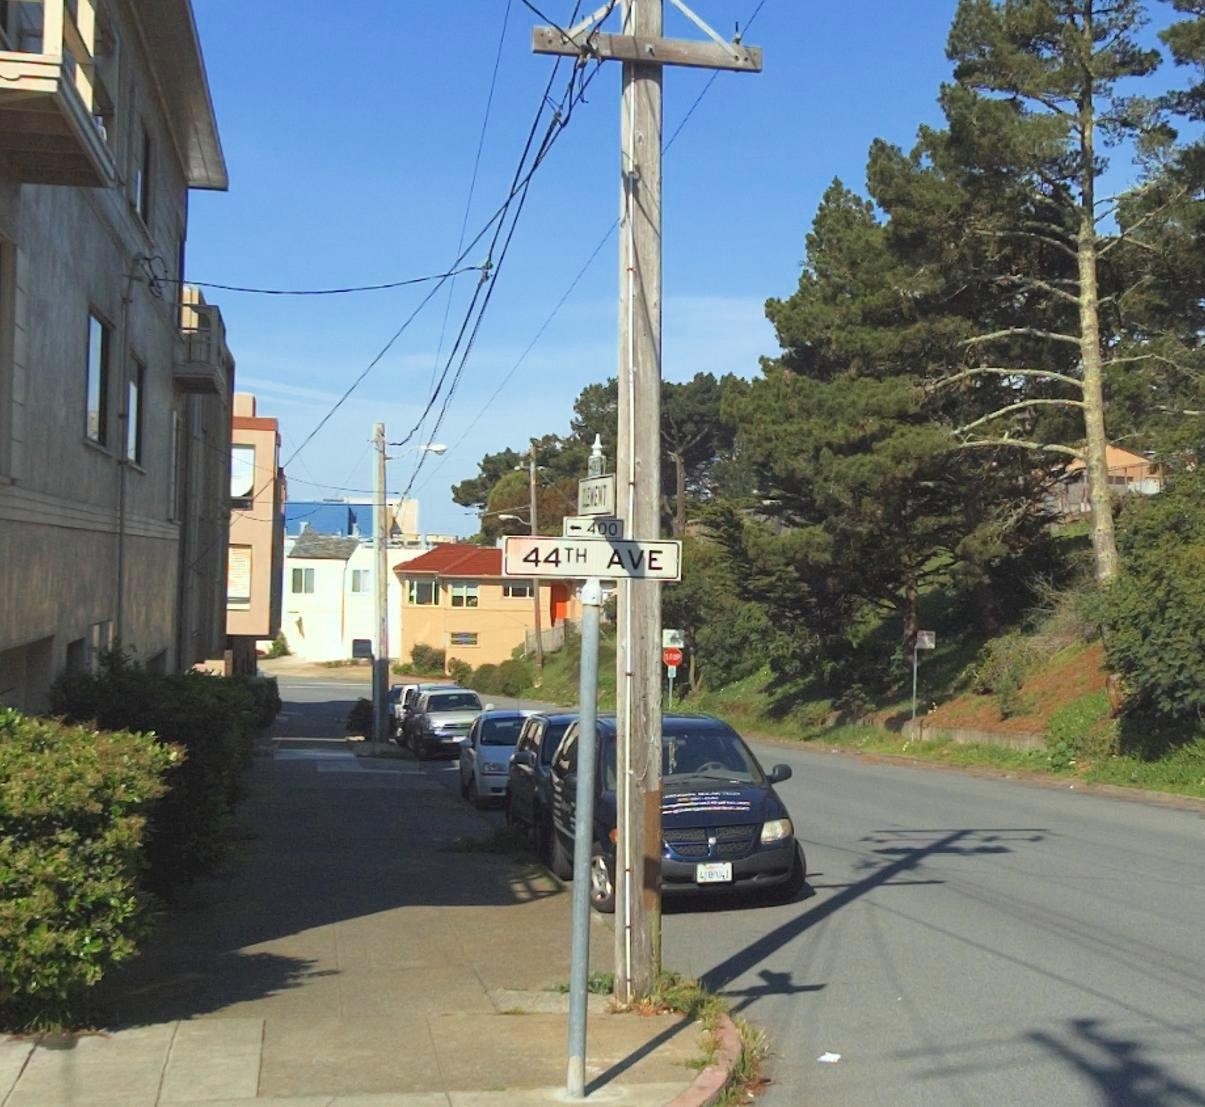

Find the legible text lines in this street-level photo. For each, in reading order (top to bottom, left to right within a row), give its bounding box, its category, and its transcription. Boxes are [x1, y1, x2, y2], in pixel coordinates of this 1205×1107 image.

[581, 482, 611, 509] StreetName: **EMENT
[567, 518, 619, 538] StreetNumberRange: <-400
[520, 545, 665, 573] StreetName: 44TH AVE